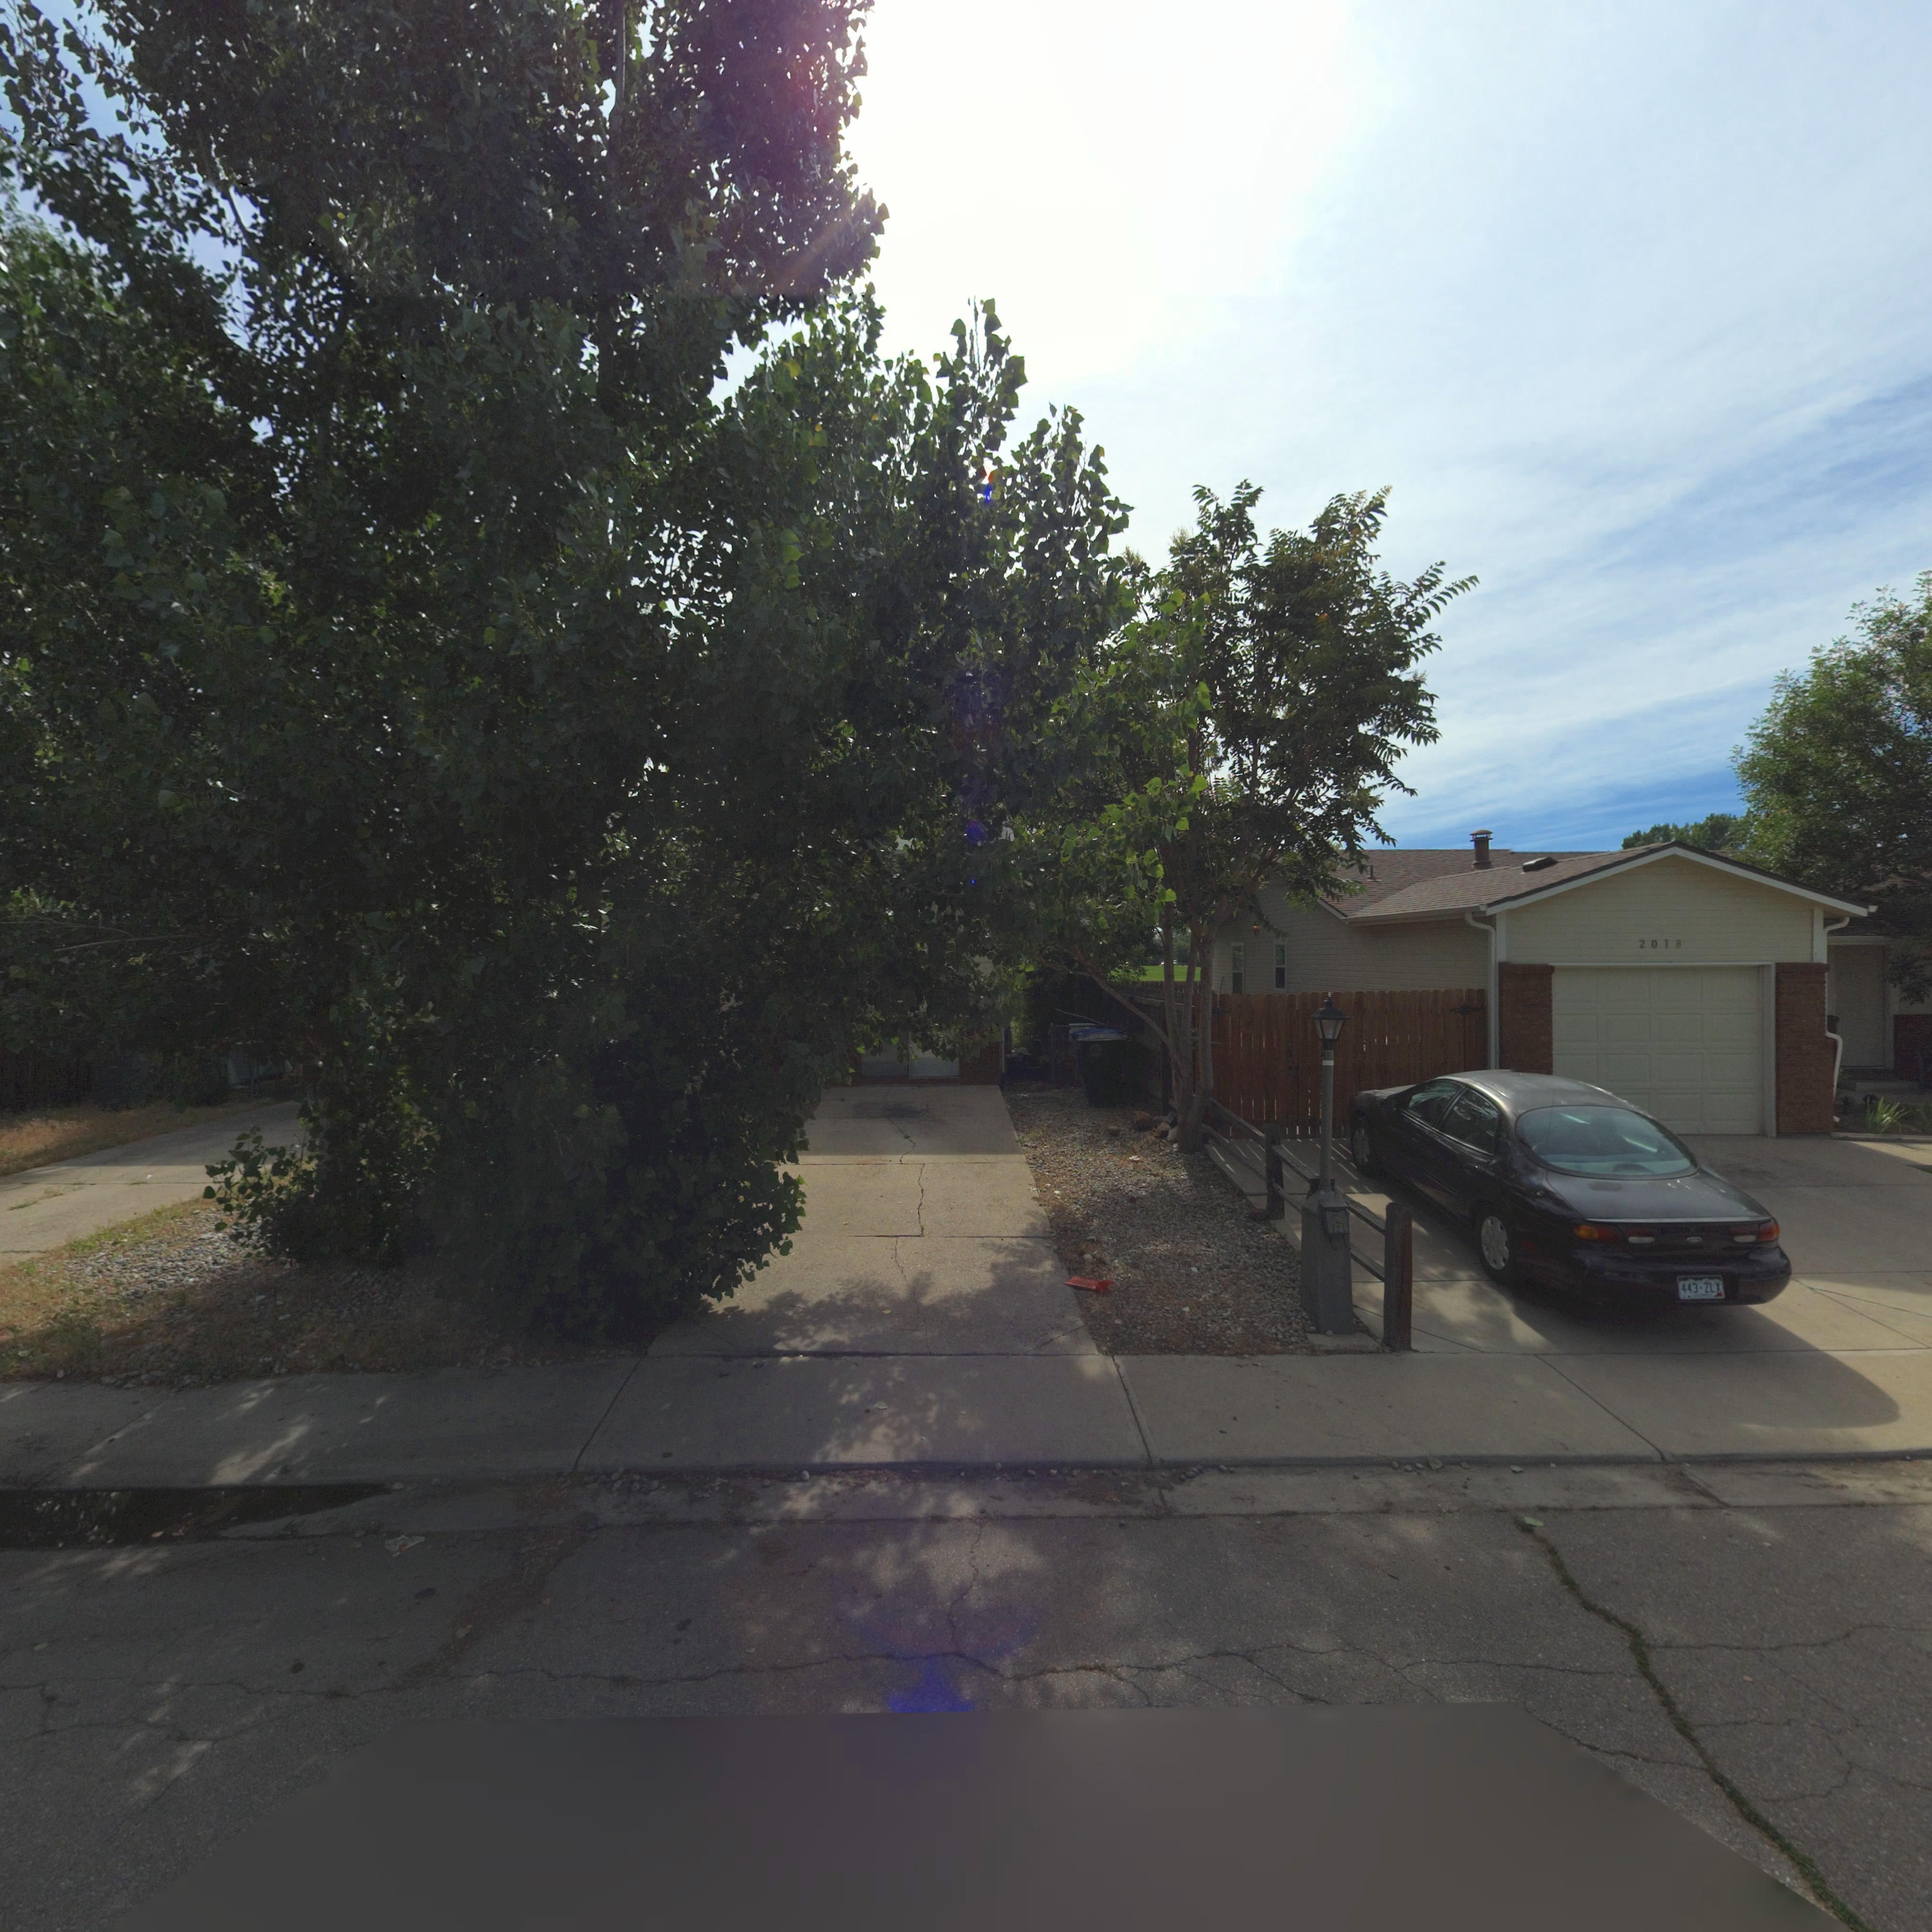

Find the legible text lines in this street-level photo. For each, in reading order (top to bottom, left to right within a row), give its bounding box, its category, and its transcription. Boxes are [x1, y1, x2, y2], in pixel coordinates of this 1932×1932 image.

[1638, 938, 1681, 948] StreetNumber: 2018